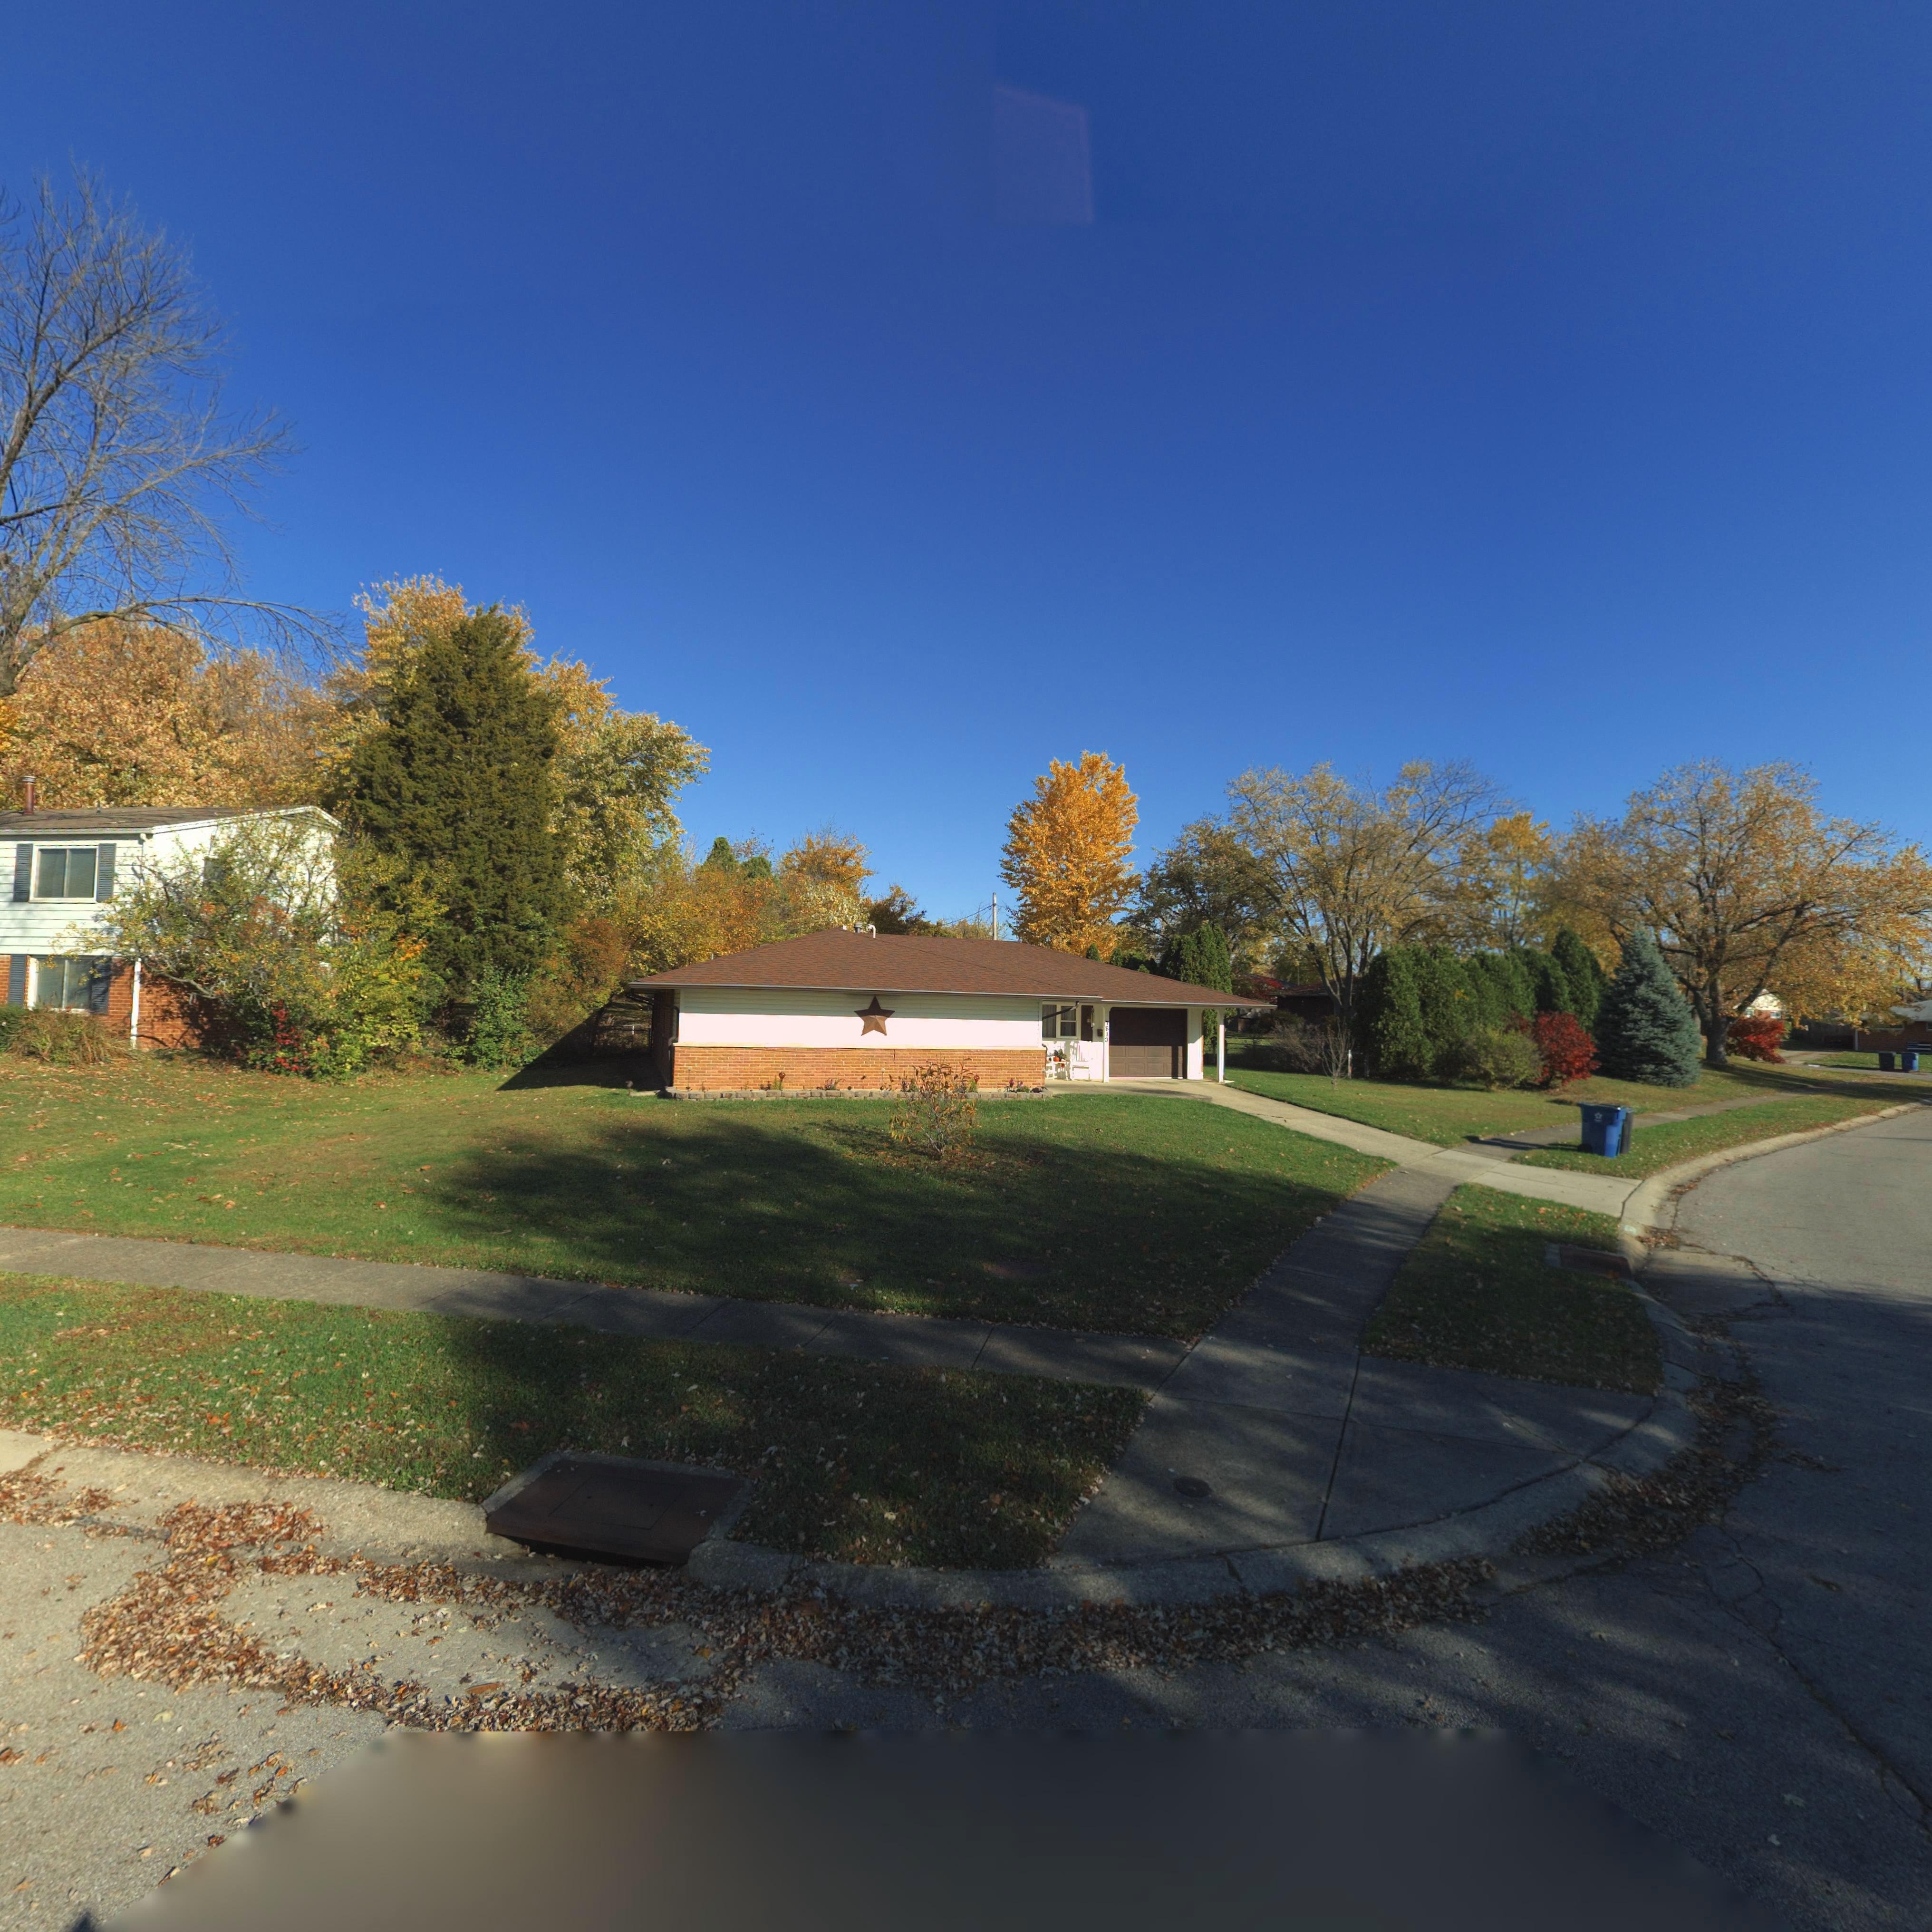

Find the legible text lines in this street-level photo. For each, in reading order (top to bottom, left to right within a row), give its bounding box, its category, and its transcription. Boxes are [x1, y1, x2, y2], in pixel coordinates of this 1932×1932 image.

[1104, 1019, 1110, 1044] StreetNumber: 7513